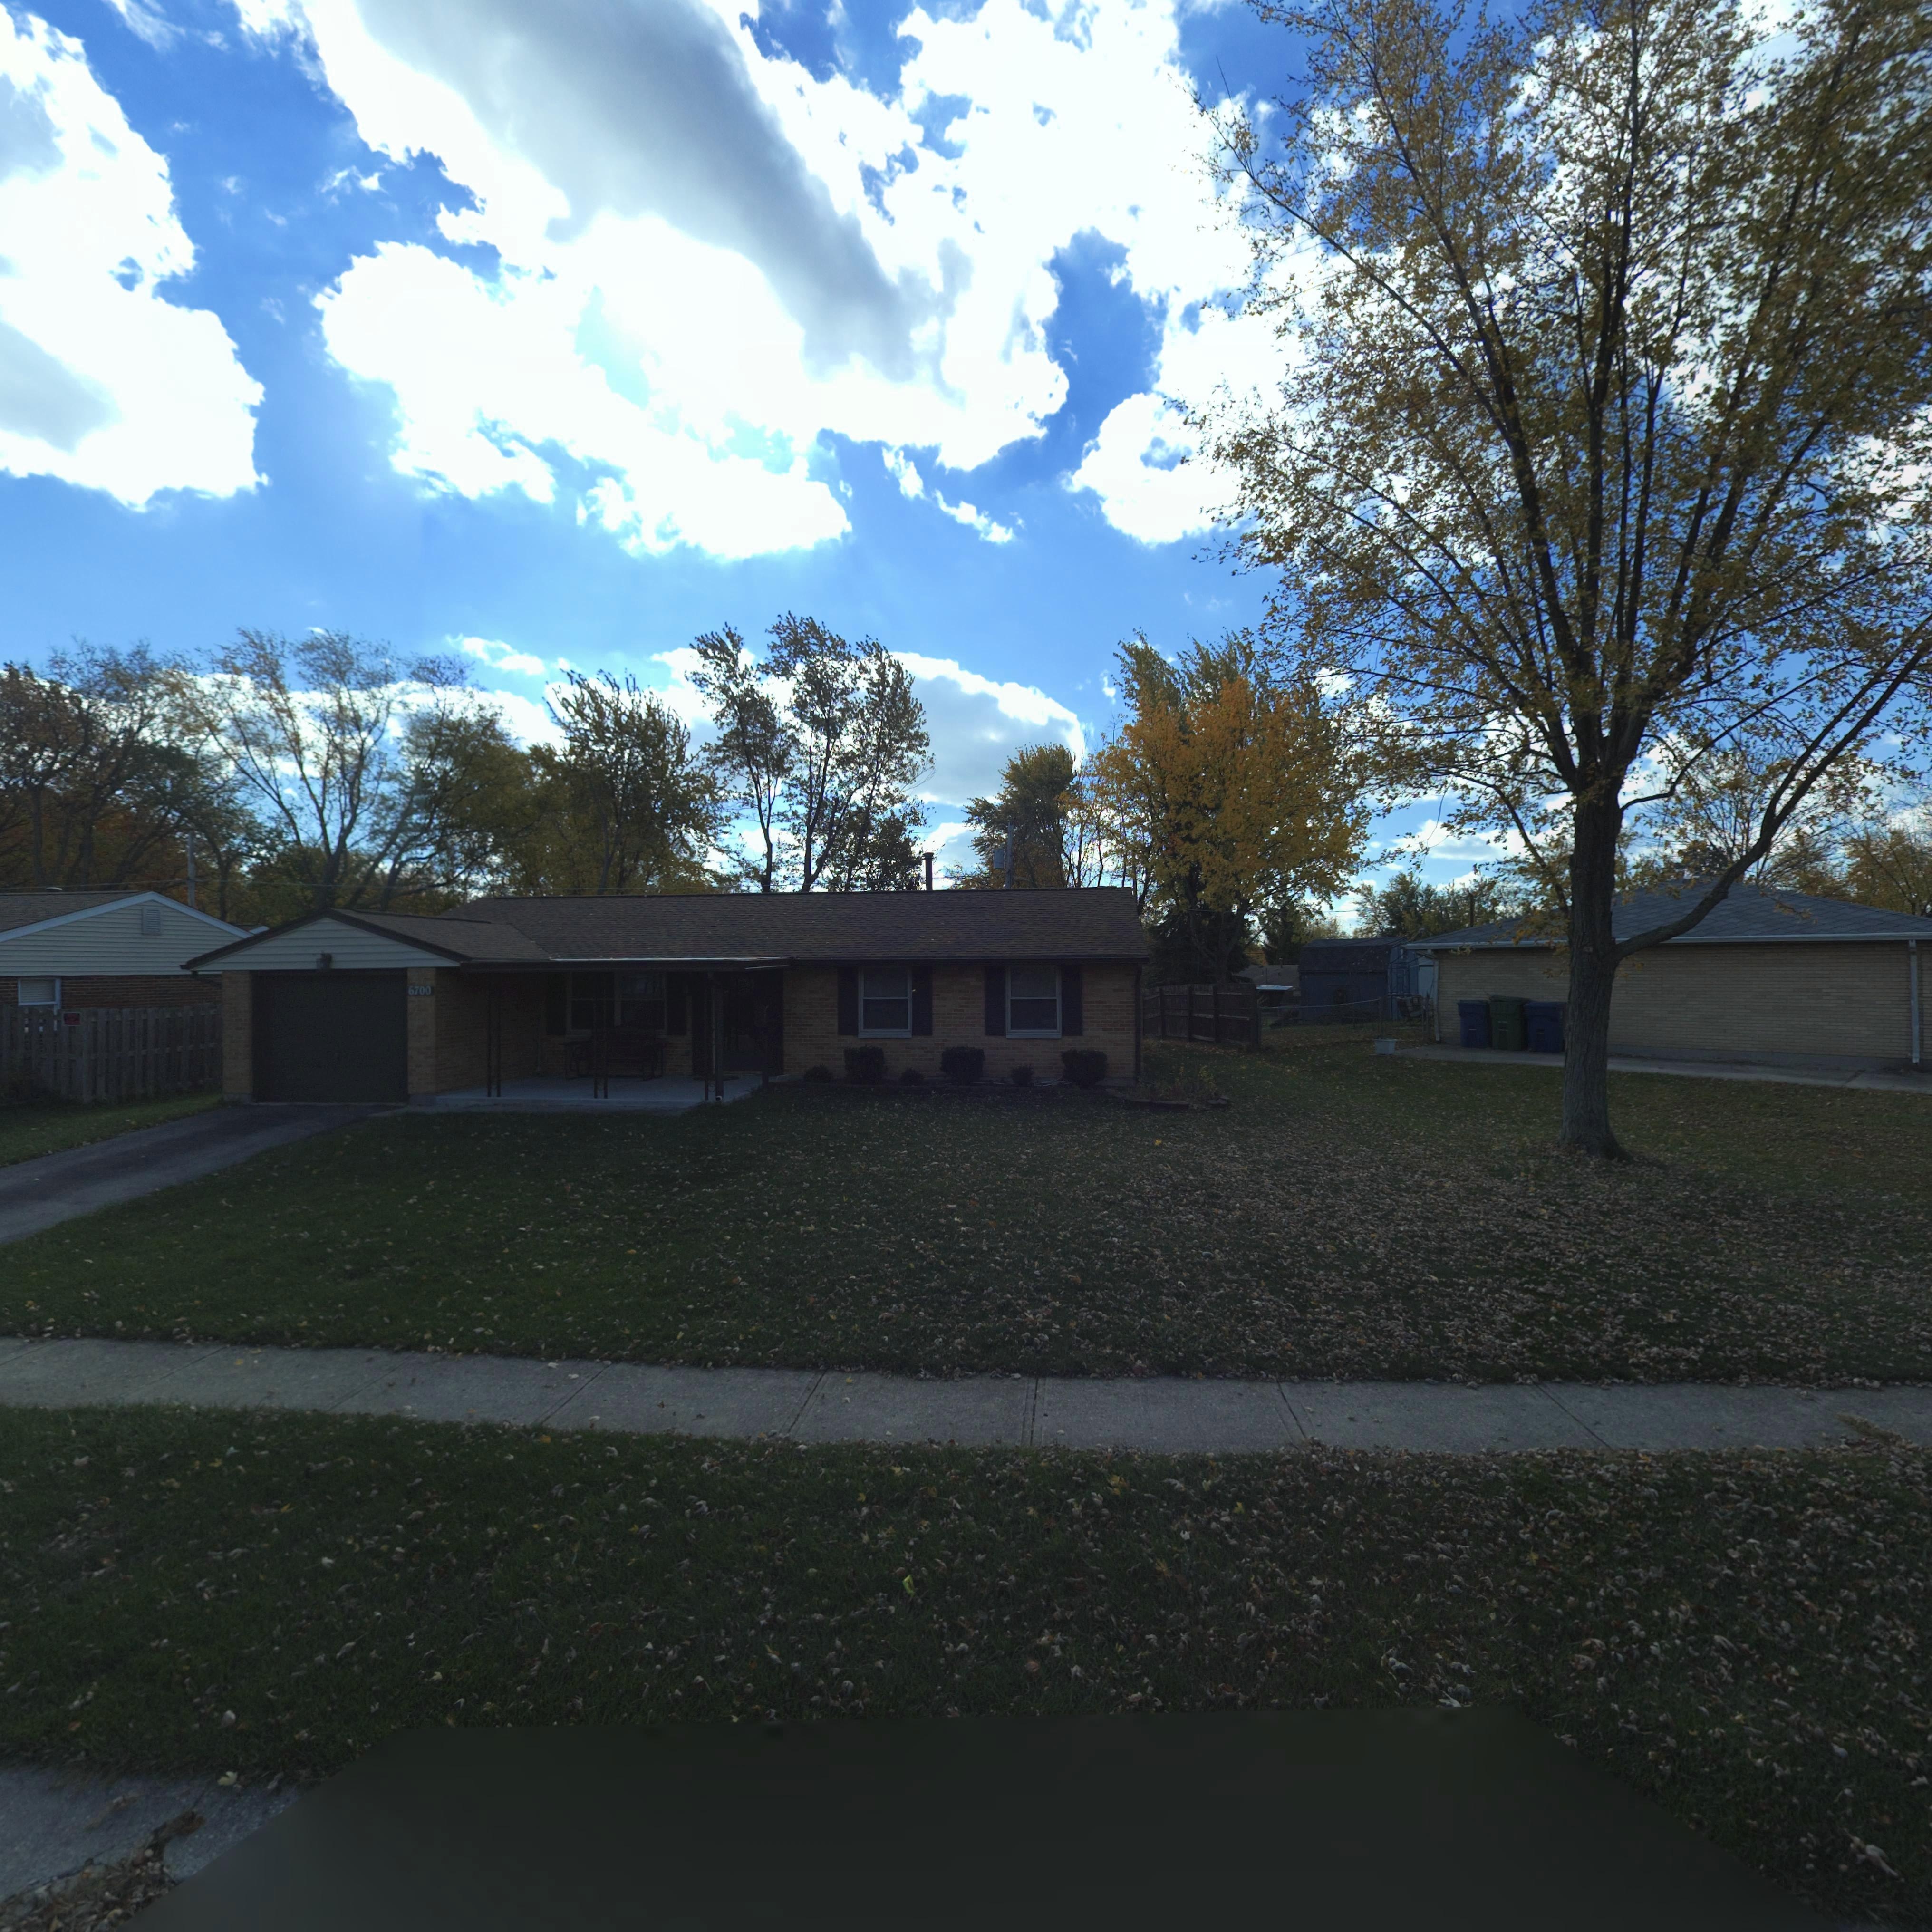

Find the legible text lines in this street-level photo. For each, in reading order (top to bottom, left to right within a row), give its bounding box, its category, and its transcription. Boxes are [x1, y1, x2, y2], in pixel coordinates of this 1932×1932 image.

[407, 985, 432, 996] StreetNumber: 6700